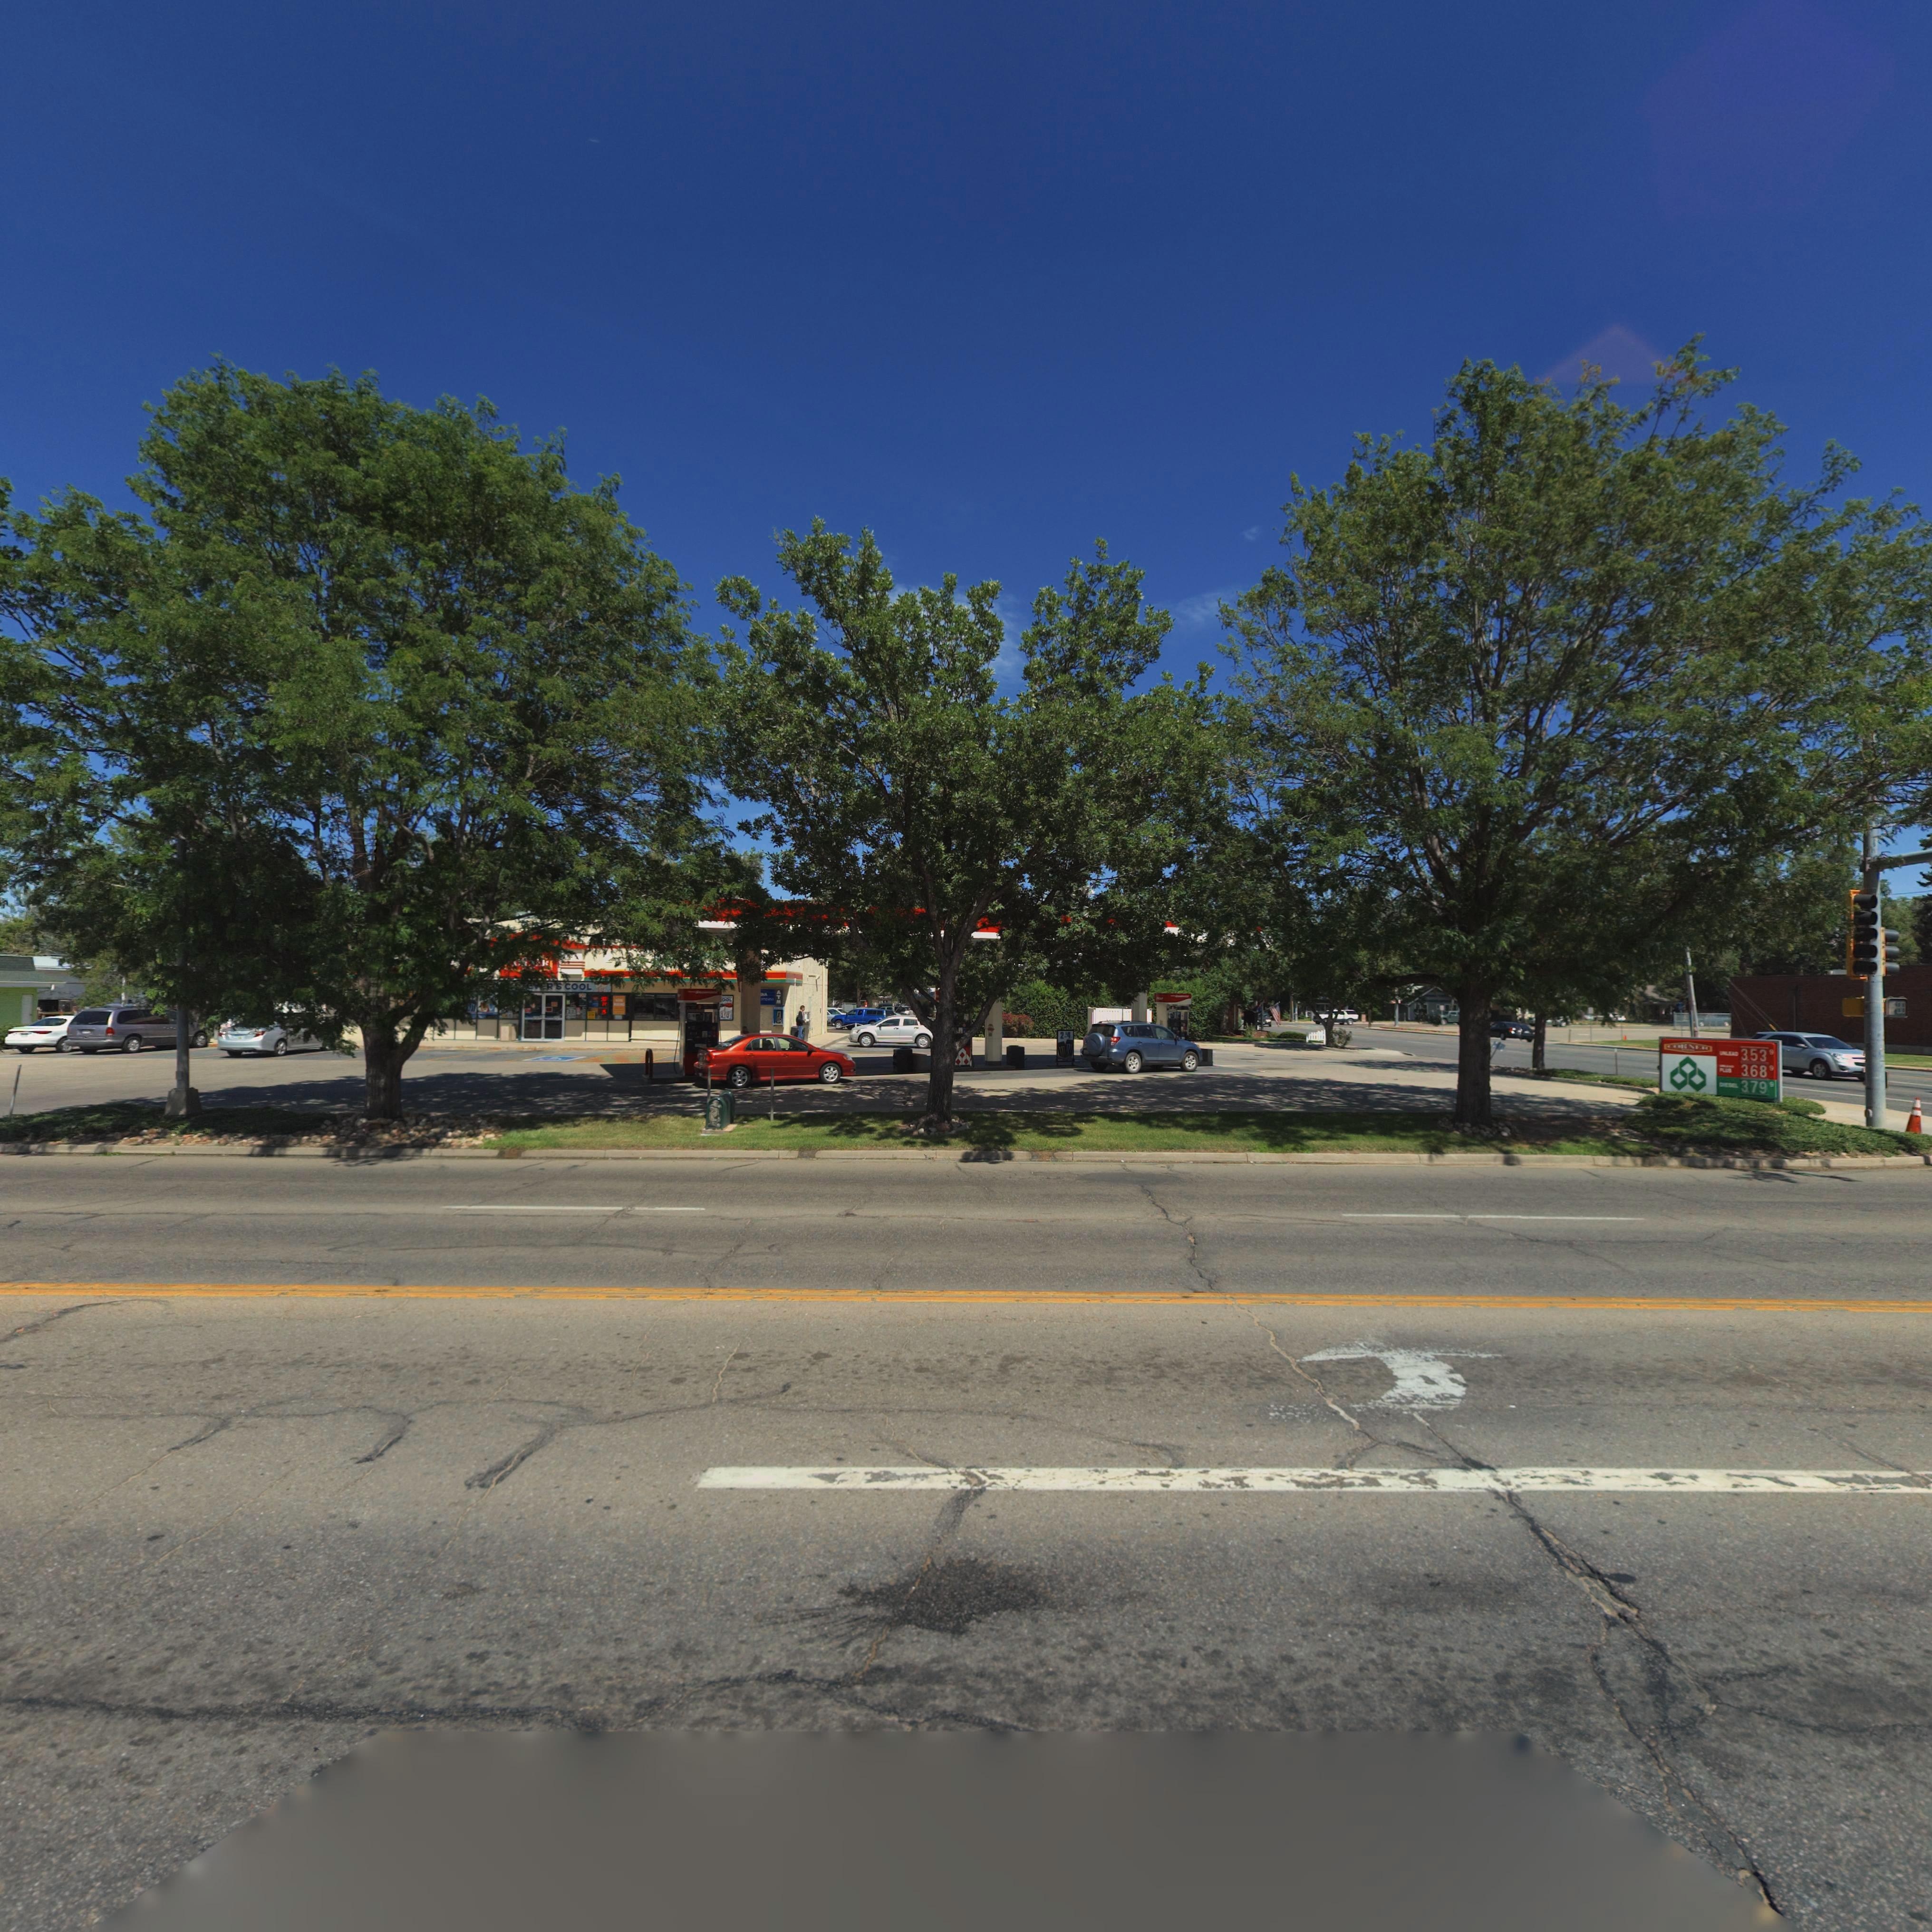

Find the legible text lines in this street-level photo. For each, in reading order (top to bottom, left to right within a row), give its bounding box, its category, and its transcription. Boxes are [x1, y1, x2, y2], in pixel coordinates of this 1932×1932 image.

[1667, 1043, 1708, 1050] BusinessName: CORNER